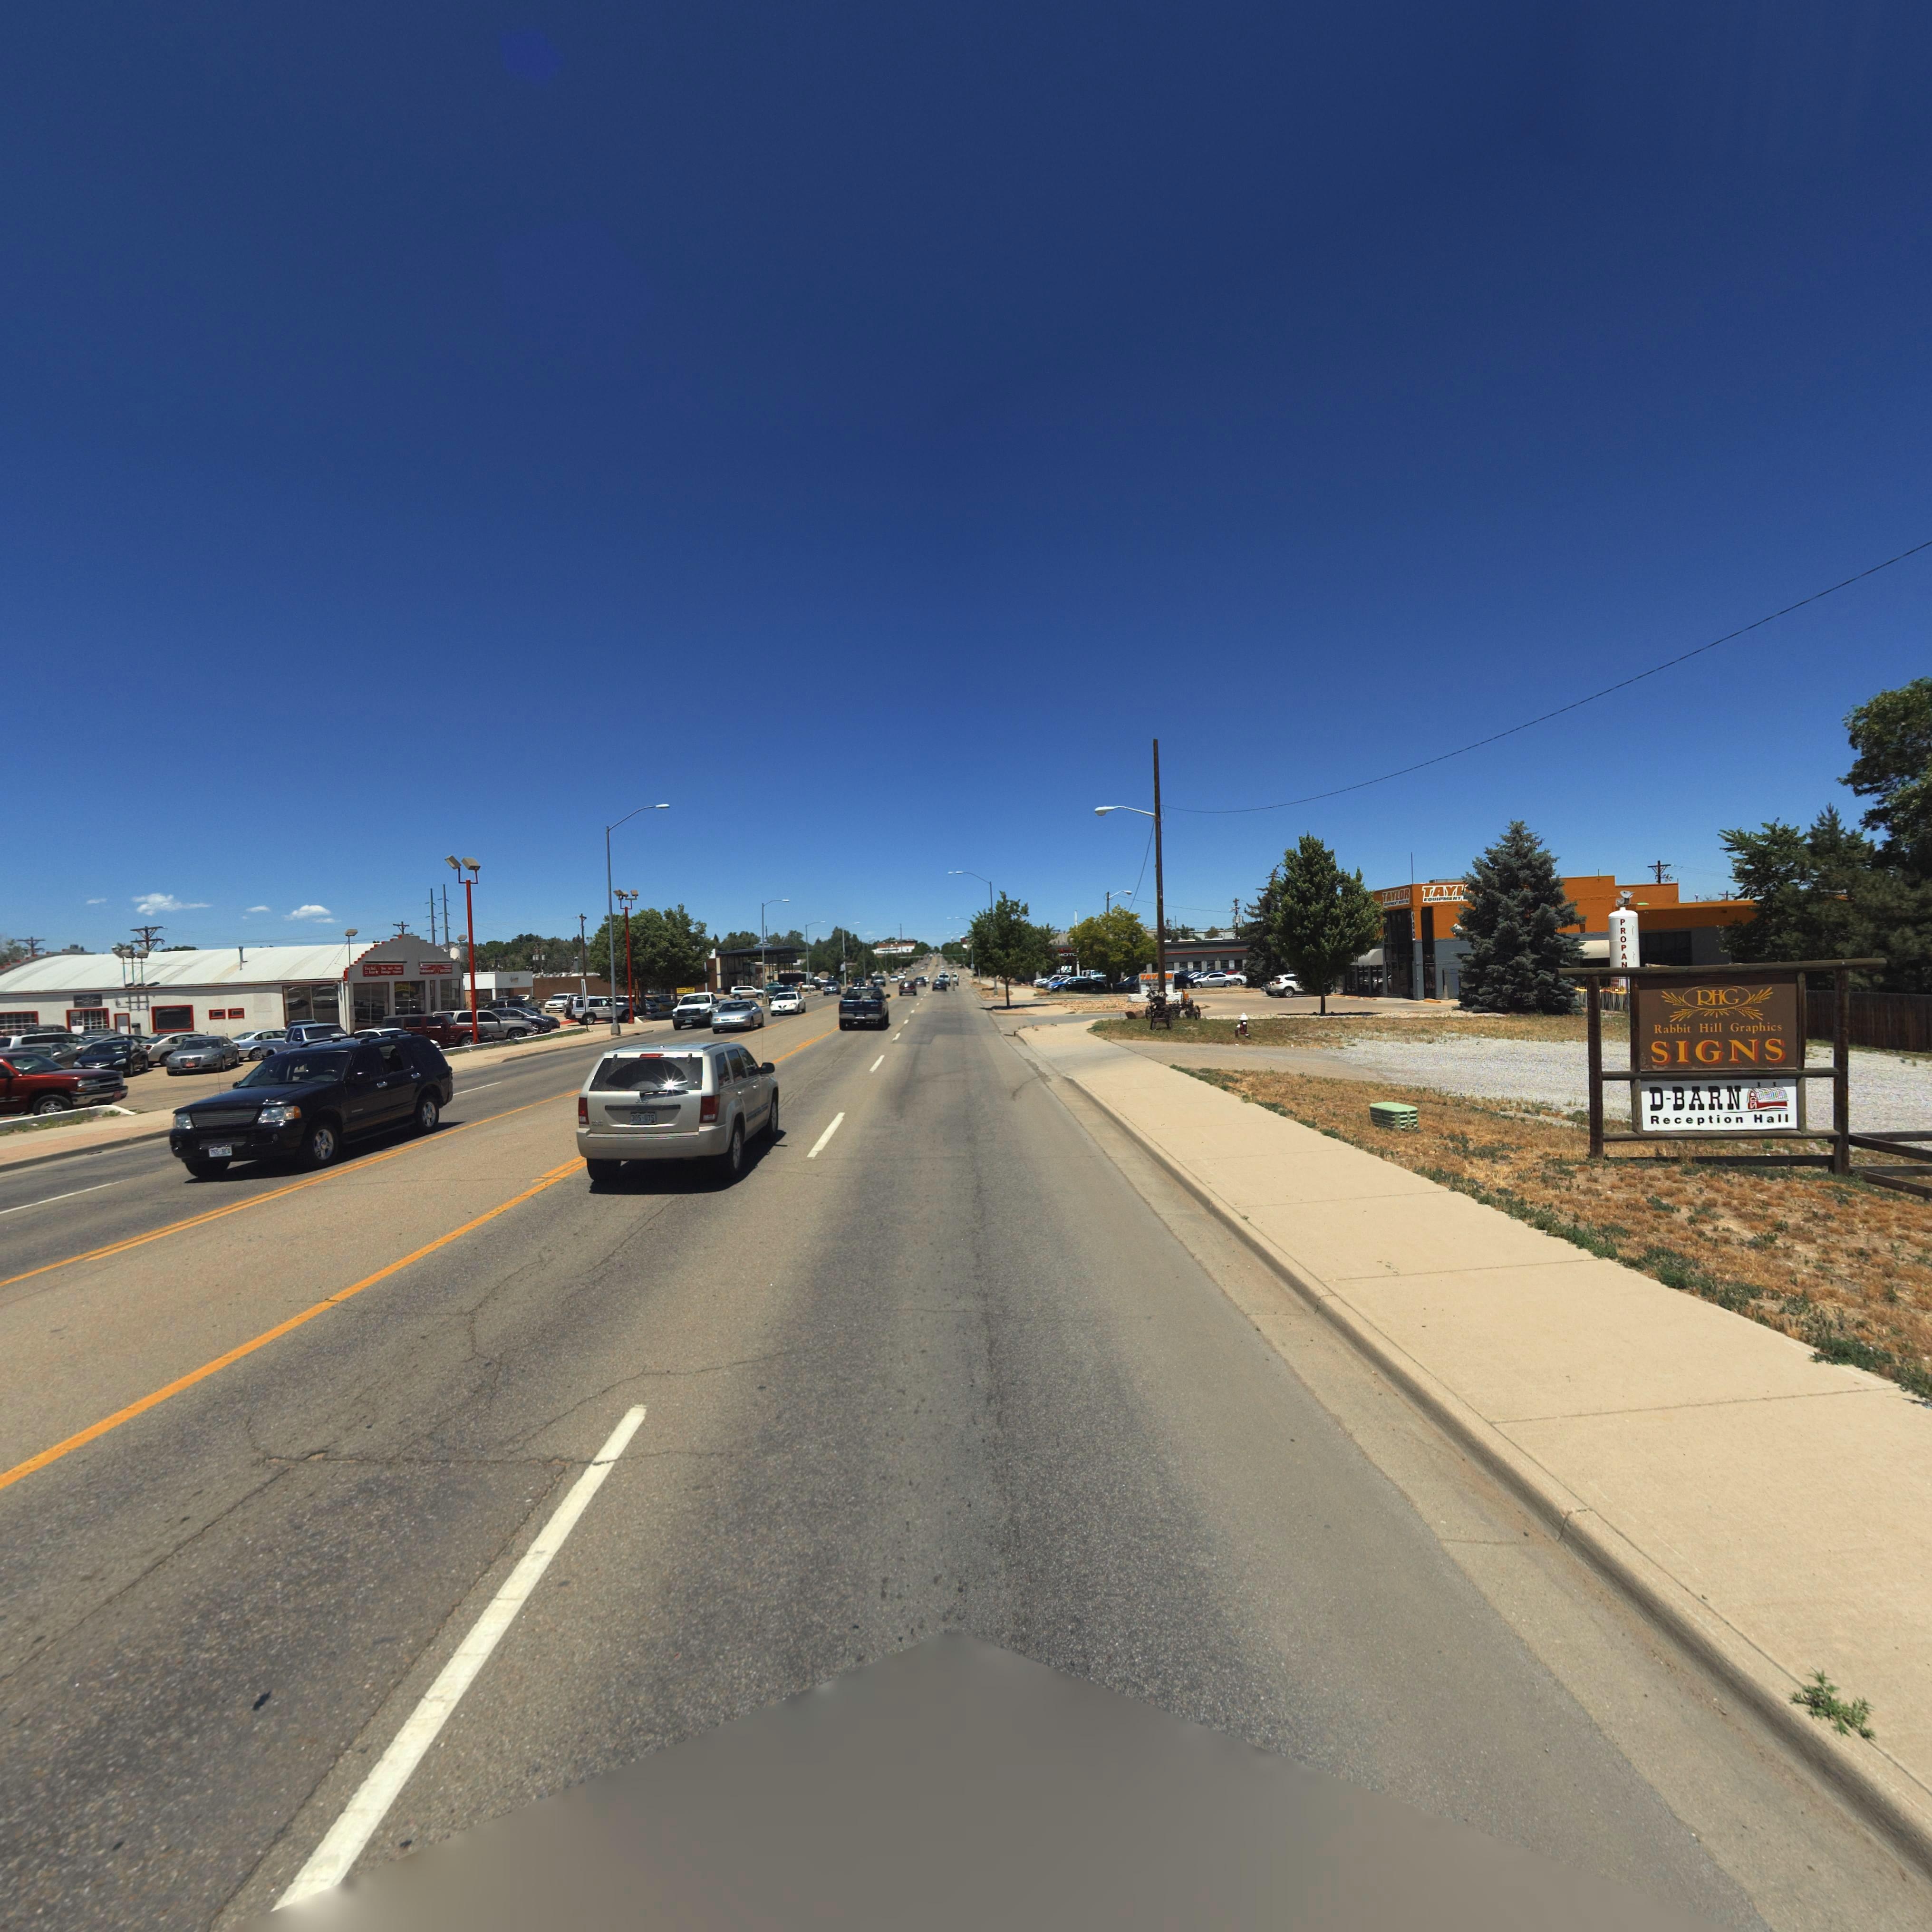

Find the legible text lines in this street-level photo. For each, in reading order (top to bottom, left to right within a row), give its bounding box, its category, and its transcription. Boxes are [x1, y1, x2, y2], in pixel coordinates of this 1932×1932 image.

[1382, 888, 1409, 902] BusinessName: TAYLOR
[1423, 885, 1463, 897] BusinessName: TAY*
[1411, 912, 1415, 938] StreetNumber: 130
[1057, 947, 1071, 953] BusinessName: *O
[1058, 952, 1077, 956] BusinessName: *OT*
[1140, 974, 1157, 979] BusinessName: TAY
[1166, 973, 1172, 978] BusinessName: R
[1149, 990, 1165, 997] StreetNumber: 136
[1695, 988, 1739, 1005] BusinessName: RHG
[1653, 1022, 1783, 1034] BusinessName: Rabbit Hill Graphics
[1648, 1085, 1741, 1111] BusinessName: D-BARN